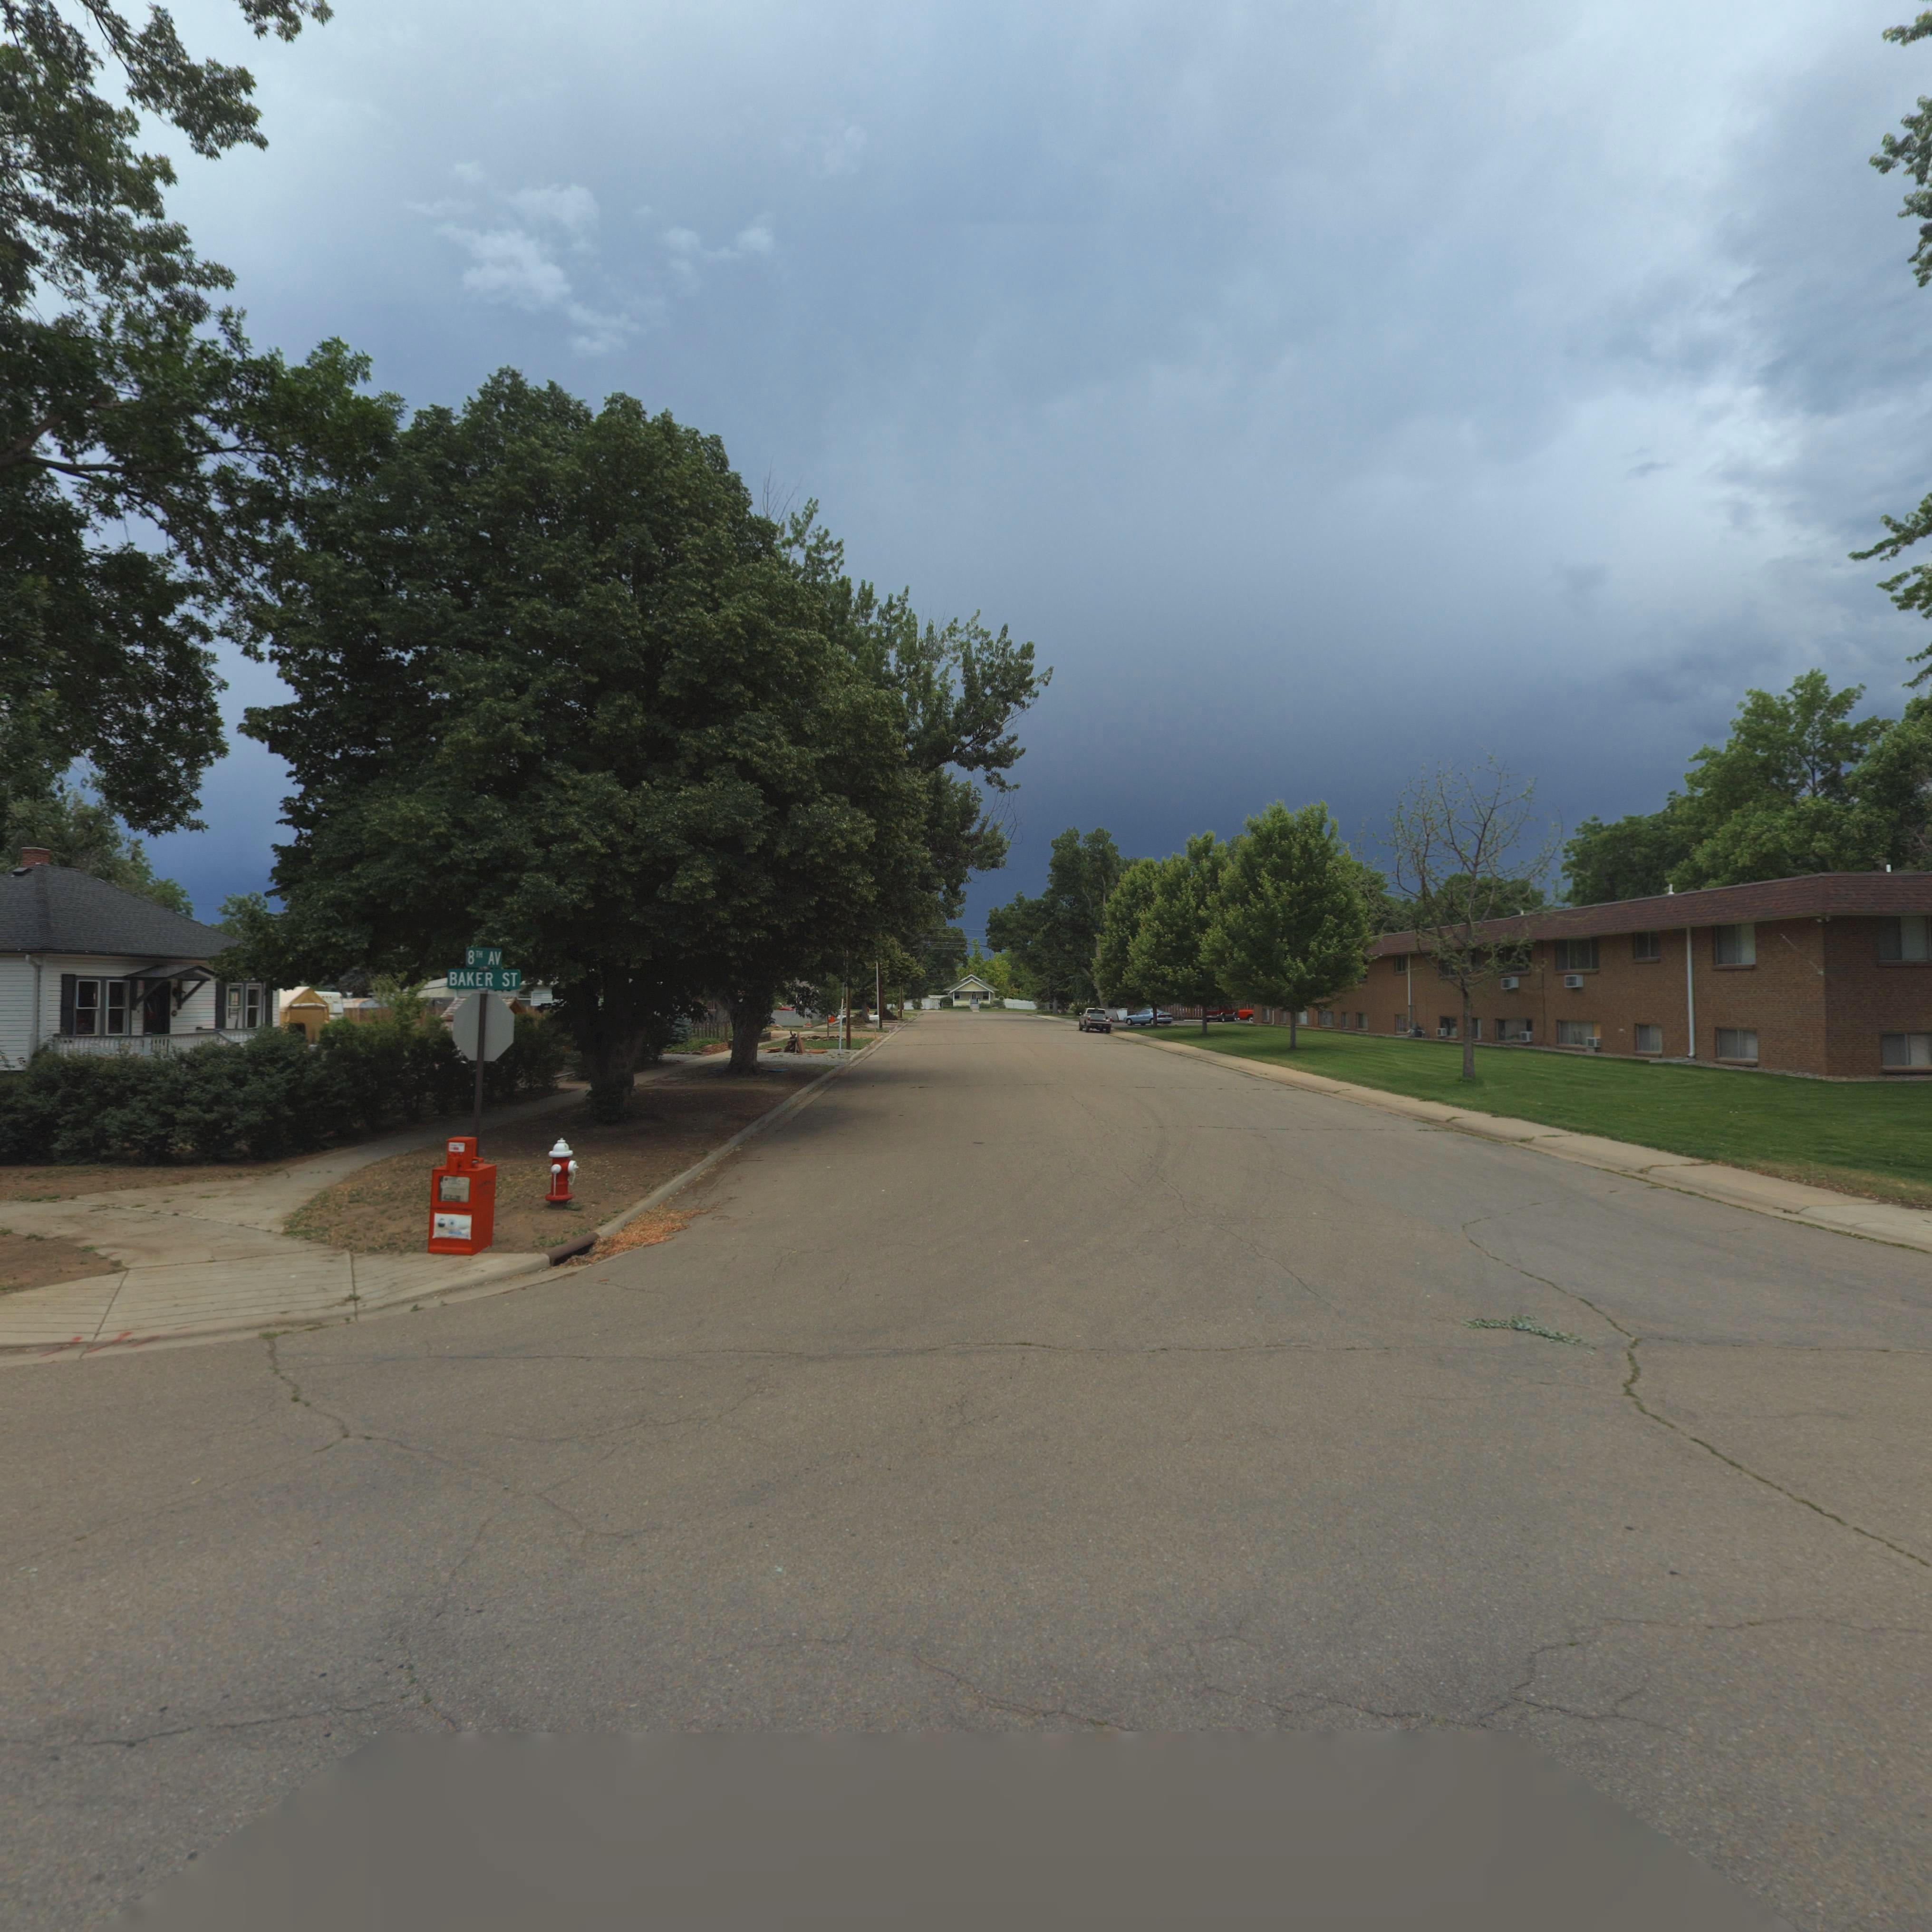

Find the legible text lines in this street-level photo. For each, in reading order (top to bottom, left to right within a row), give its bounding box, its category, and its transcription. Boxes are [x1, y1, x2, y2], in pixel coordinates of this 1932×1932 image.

[467, 949, 501, 965] StreetName: 8TH AV
[449, 971, 518, 987] StreetName: BAKER ST